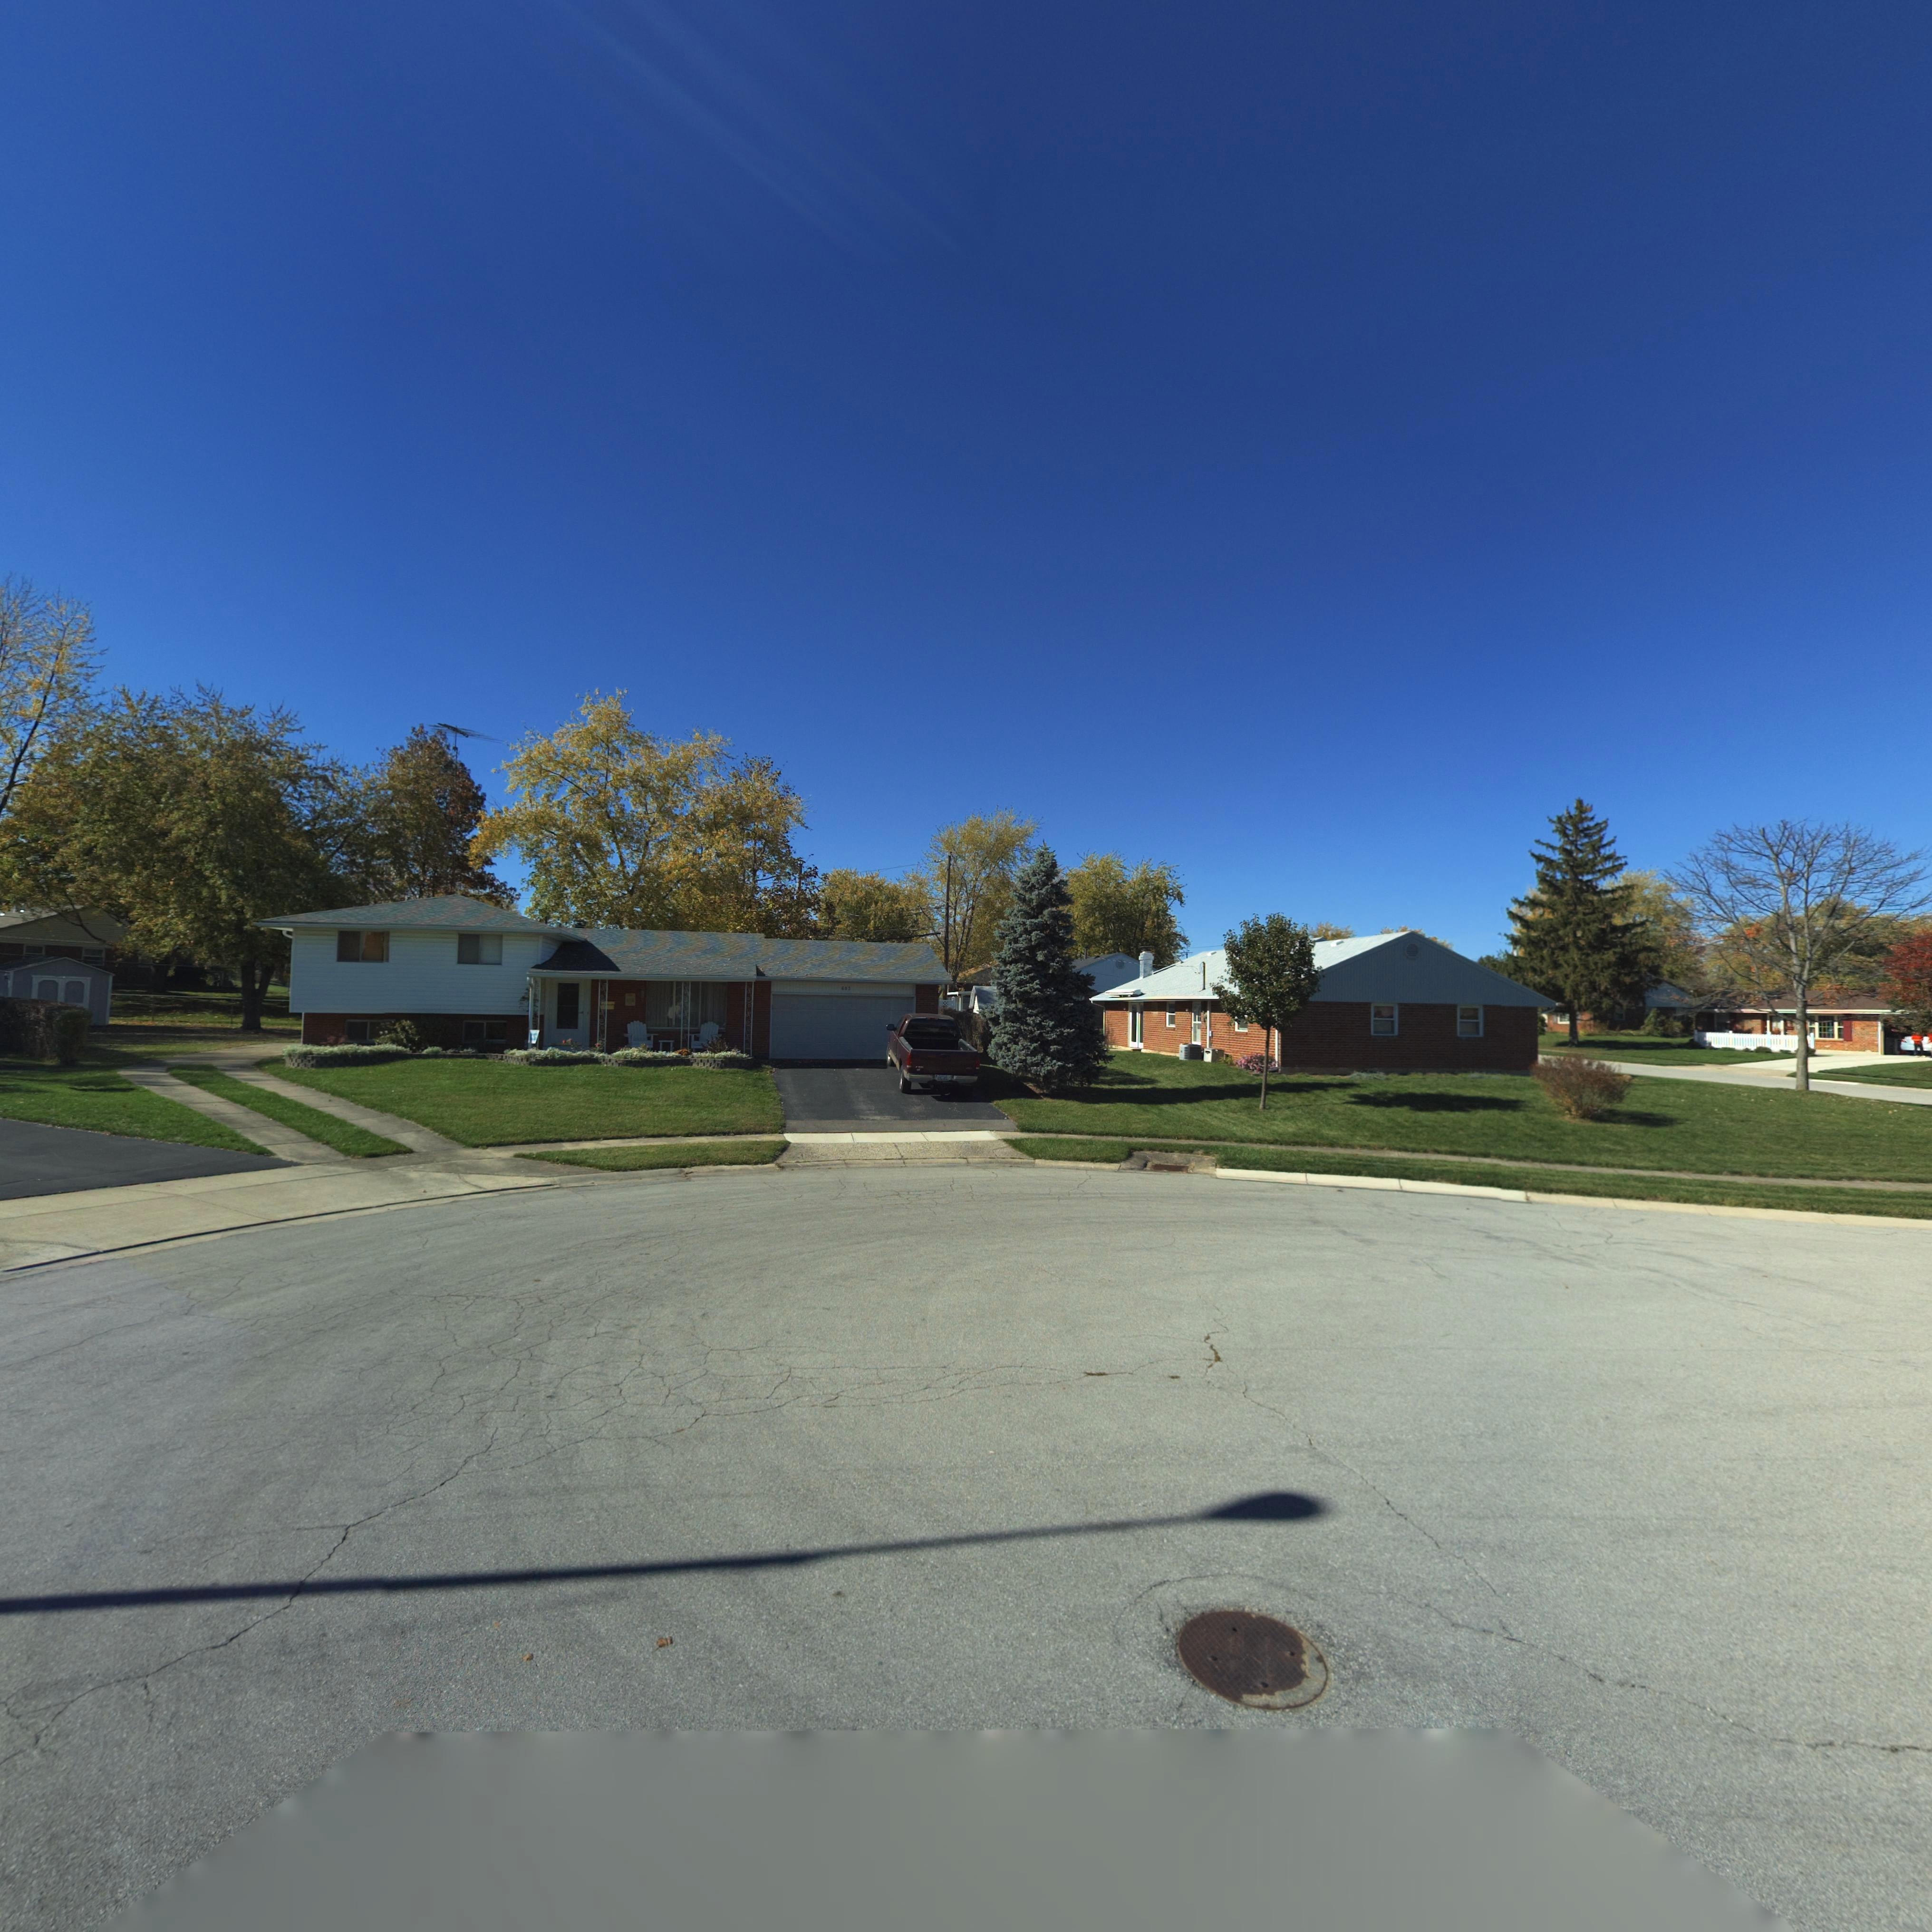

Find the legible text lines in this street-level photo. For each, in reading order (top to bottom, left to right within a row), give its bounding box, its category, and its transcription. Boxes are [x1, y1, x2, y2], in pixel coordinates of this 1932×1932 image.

[841, 986, 851, 991] StreetNumber: 603